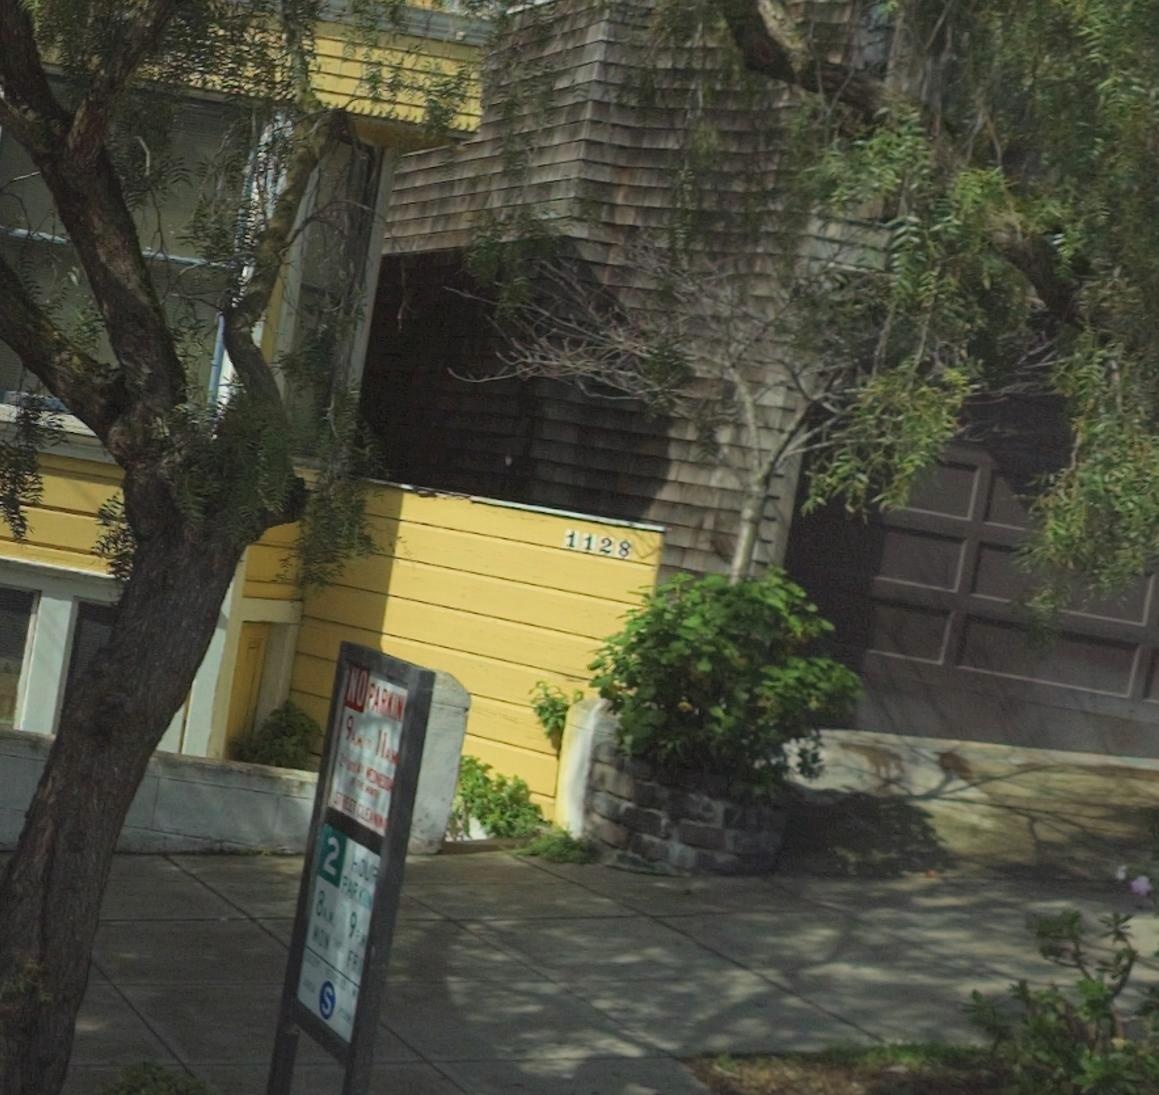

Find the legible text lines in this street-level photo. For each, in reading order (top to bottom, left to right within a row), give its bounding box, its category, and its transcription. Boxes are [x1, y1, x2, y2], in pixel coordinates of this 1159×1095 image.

[561, 527, 633, 561] StreetNumber: 1128
[343, 663, 411, 729] None: NO PARKIN
[342, 713, 357, 743] None: 9
[346, 729, 363, 749] None: A.M.
[364, 736, 374, 754] None: TO
[373, 727, 390, 762] None: 11
[383, 747, 400, 768] None: A.M.
[363, 764, 399, 798] None: WEDNESDA*
[329, 788, 391, 837] None: STREET CLEANI**
[320, 833, 343, 879] None: 2
[346, 850, 383, 890] None: HOUR
[313, 887, 328, 919] None: 8
[338, 872, 379, 916] None: PARKIN
[309, 921, 333, 955] None: MON
[348, 909, 360, 942] None: 9
[344, 946, 366, 983] None: FR*
[319, 981, 335, 1020] None: S